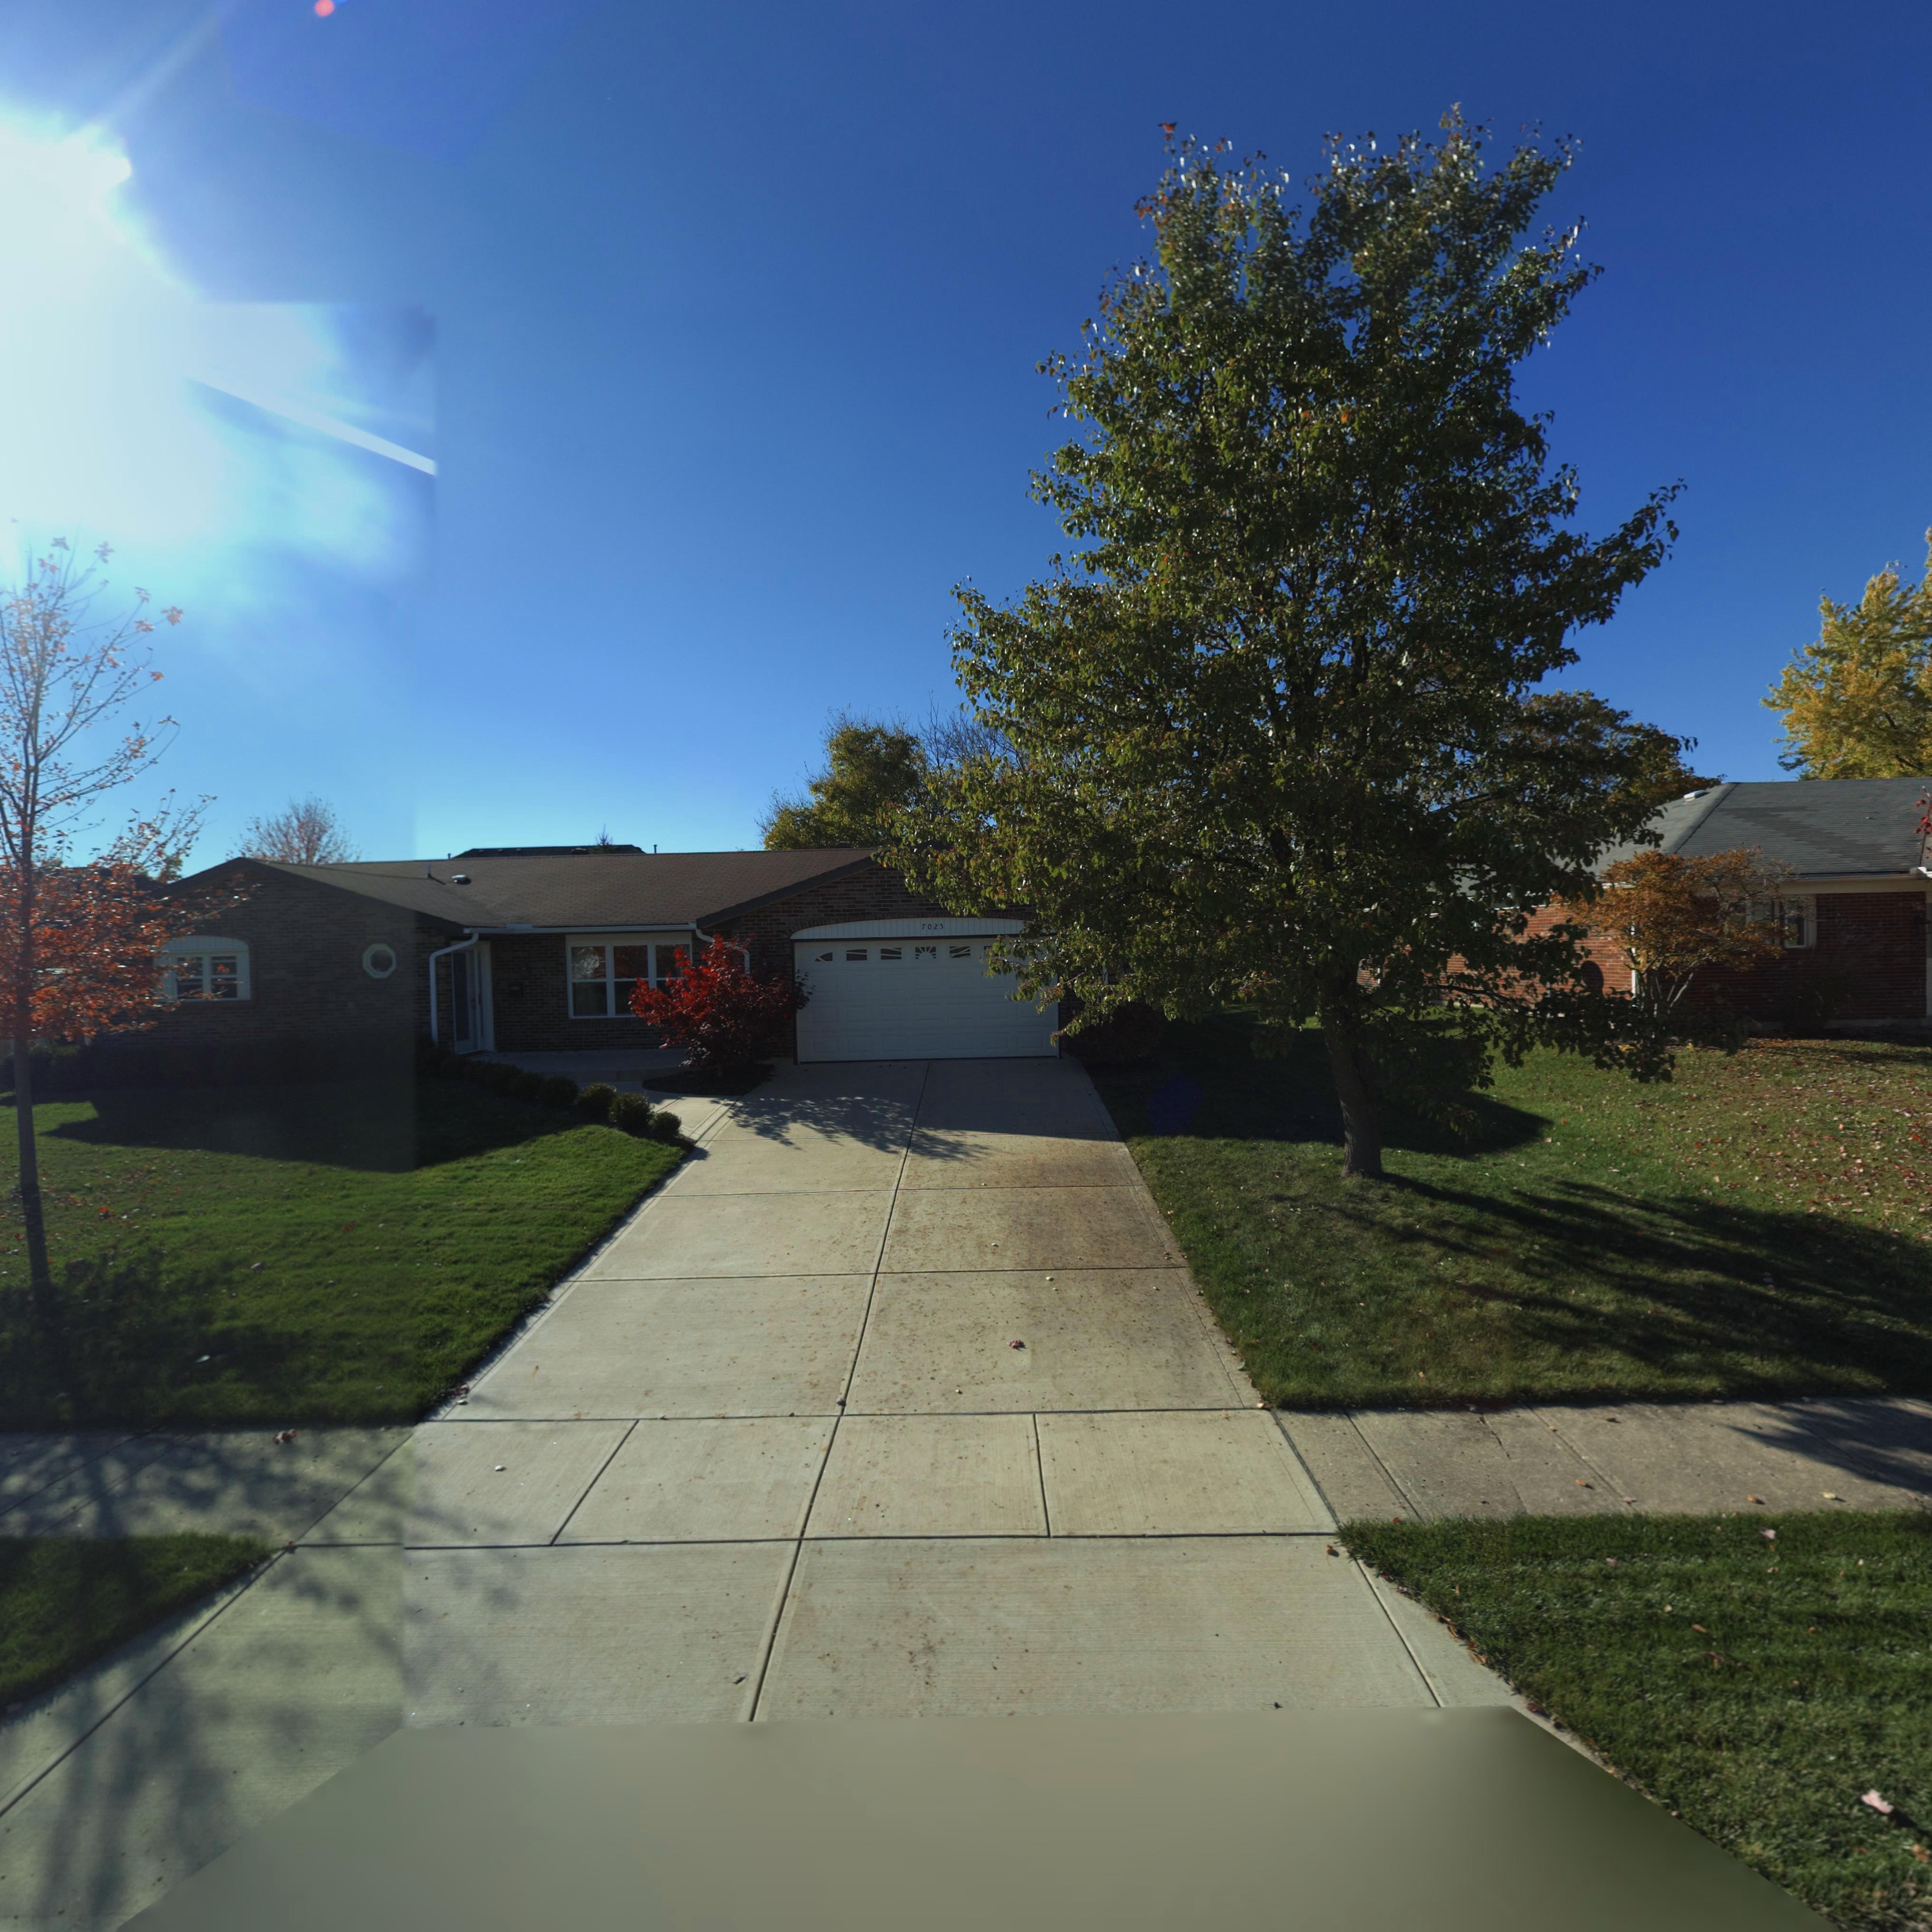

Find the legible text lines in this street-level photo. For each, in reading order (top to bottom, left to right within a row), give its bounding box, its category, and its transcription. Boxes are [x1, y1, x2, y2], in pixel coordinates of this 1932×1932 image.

[921, 923, 944, 930] StreetNumber: 7025